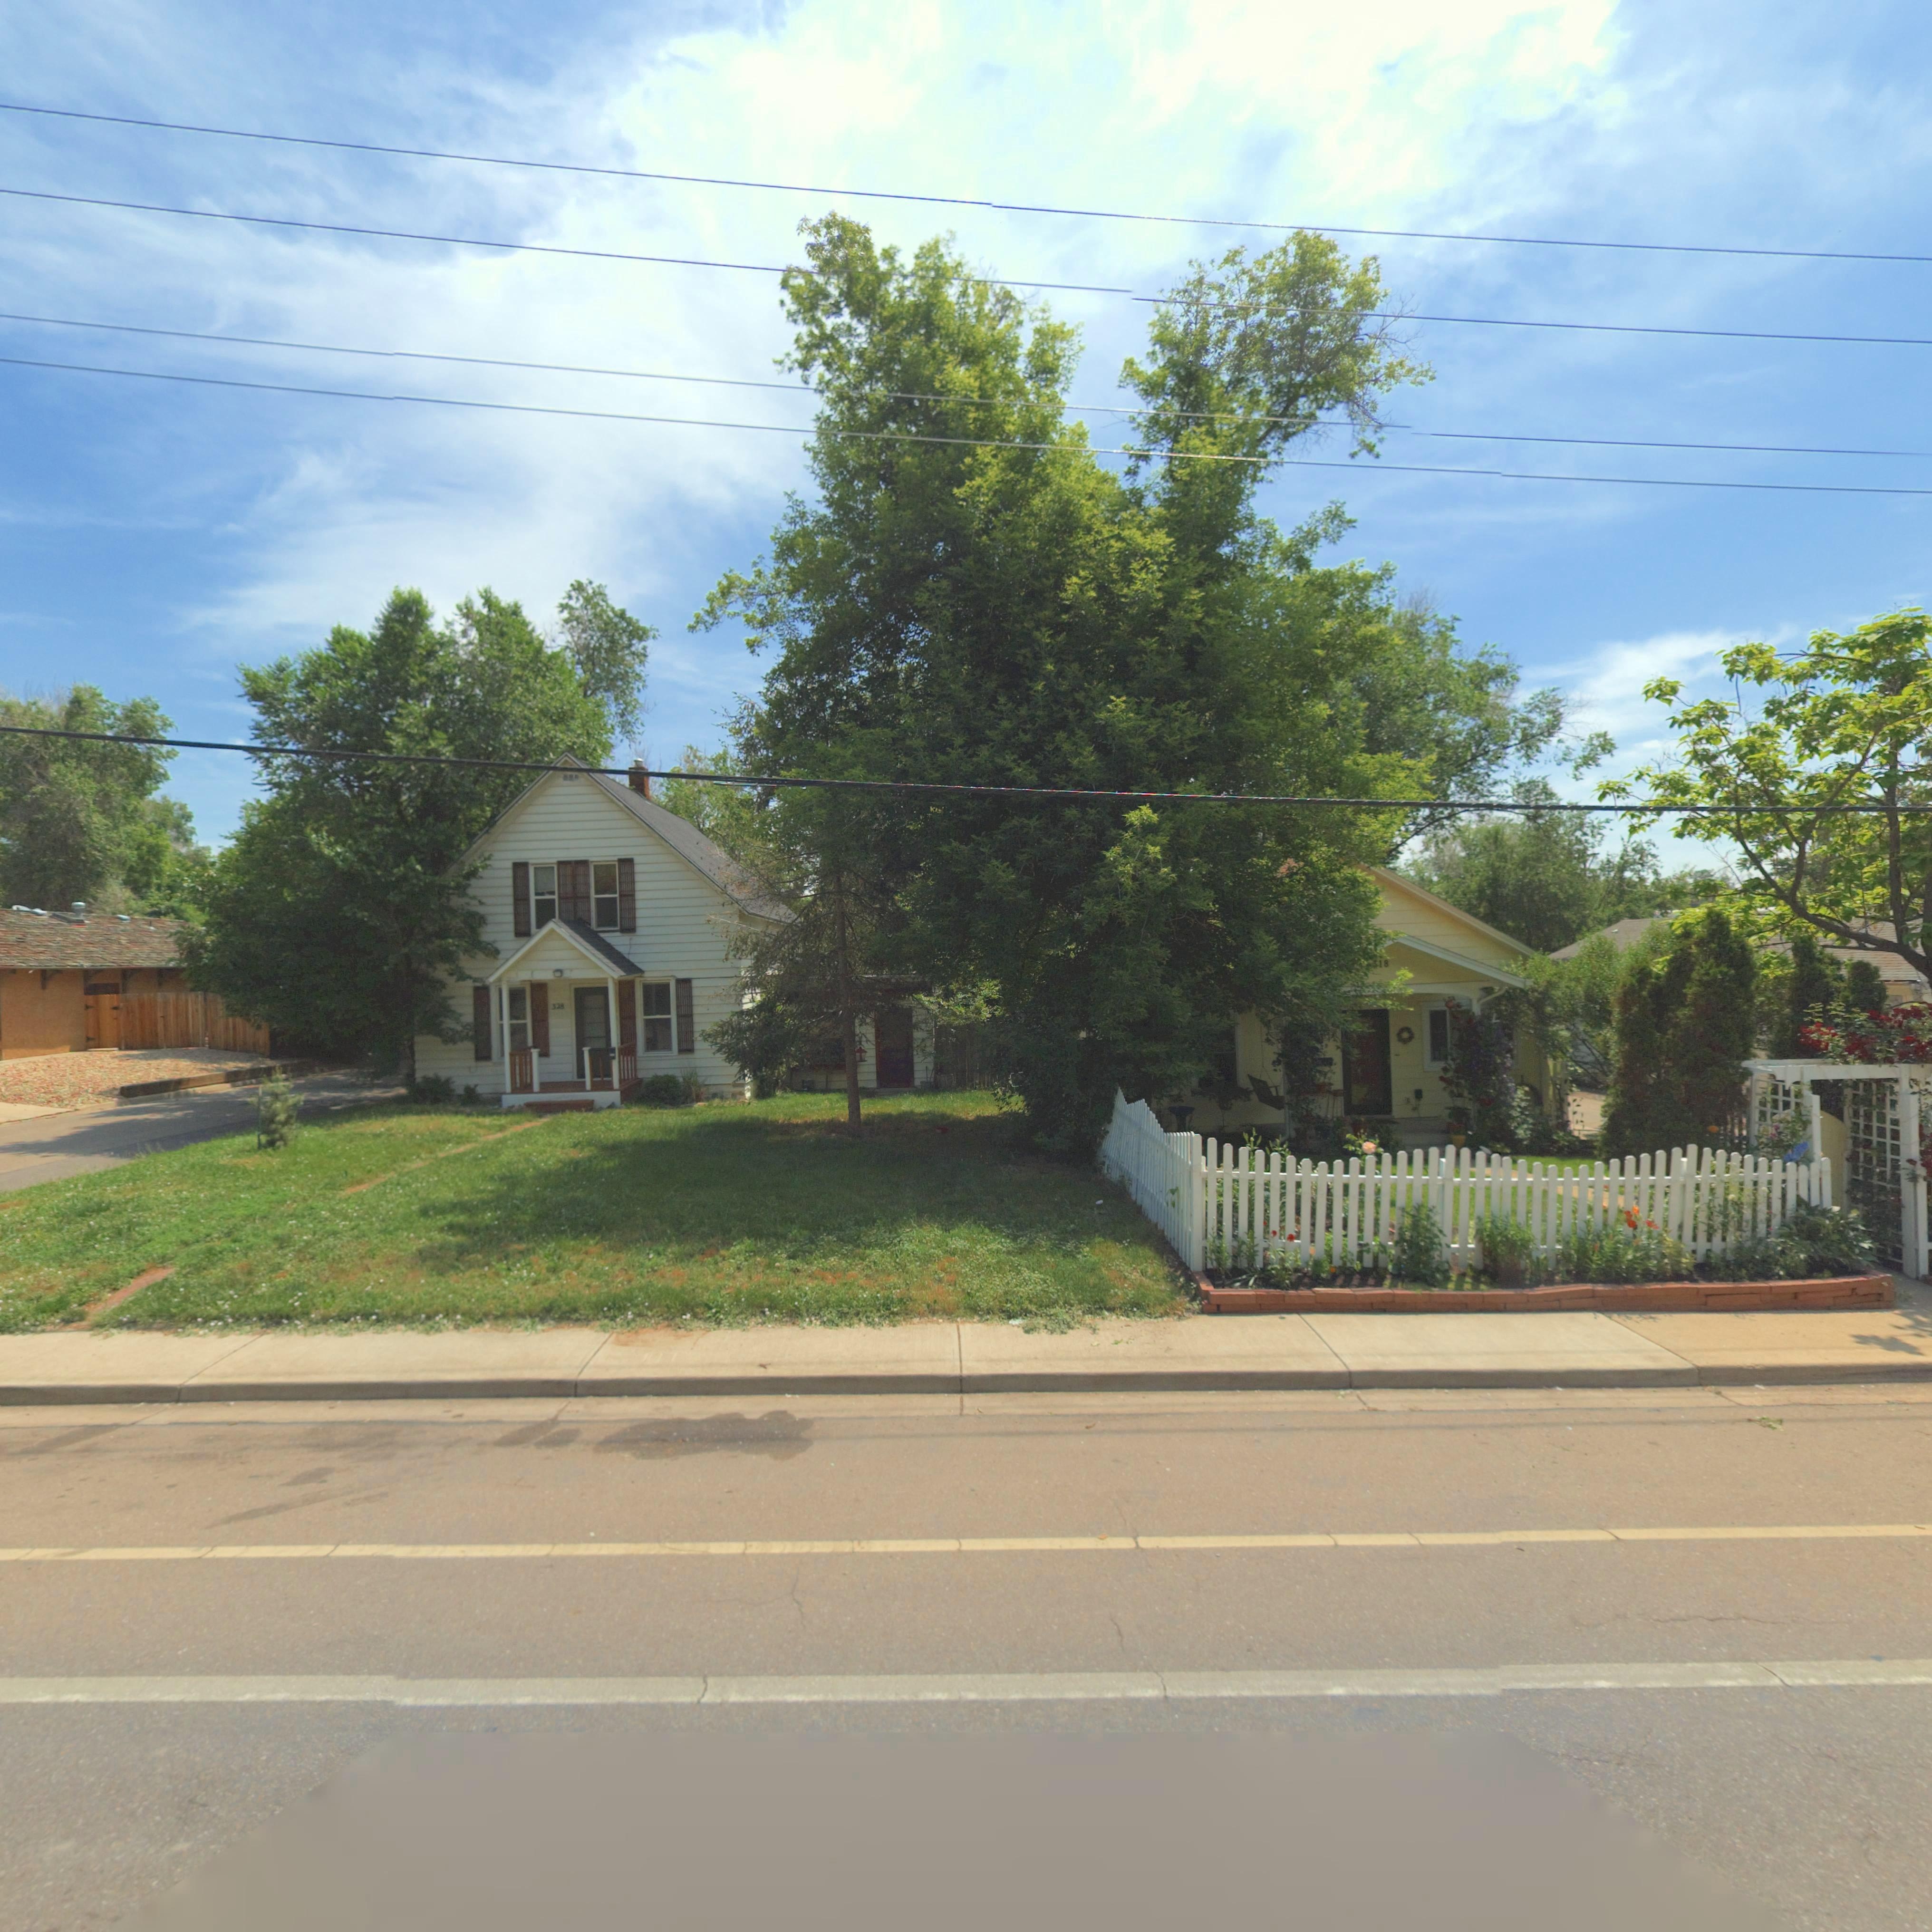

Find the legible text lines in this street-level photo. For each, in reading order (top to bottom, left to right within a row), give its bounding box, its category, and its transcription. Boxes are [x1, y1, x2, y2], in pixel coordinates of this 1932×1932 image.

[1372, 959, 1389, 967] StreetNumber: *18
[551, 1003, 564, 1010] StreetNumber: 328